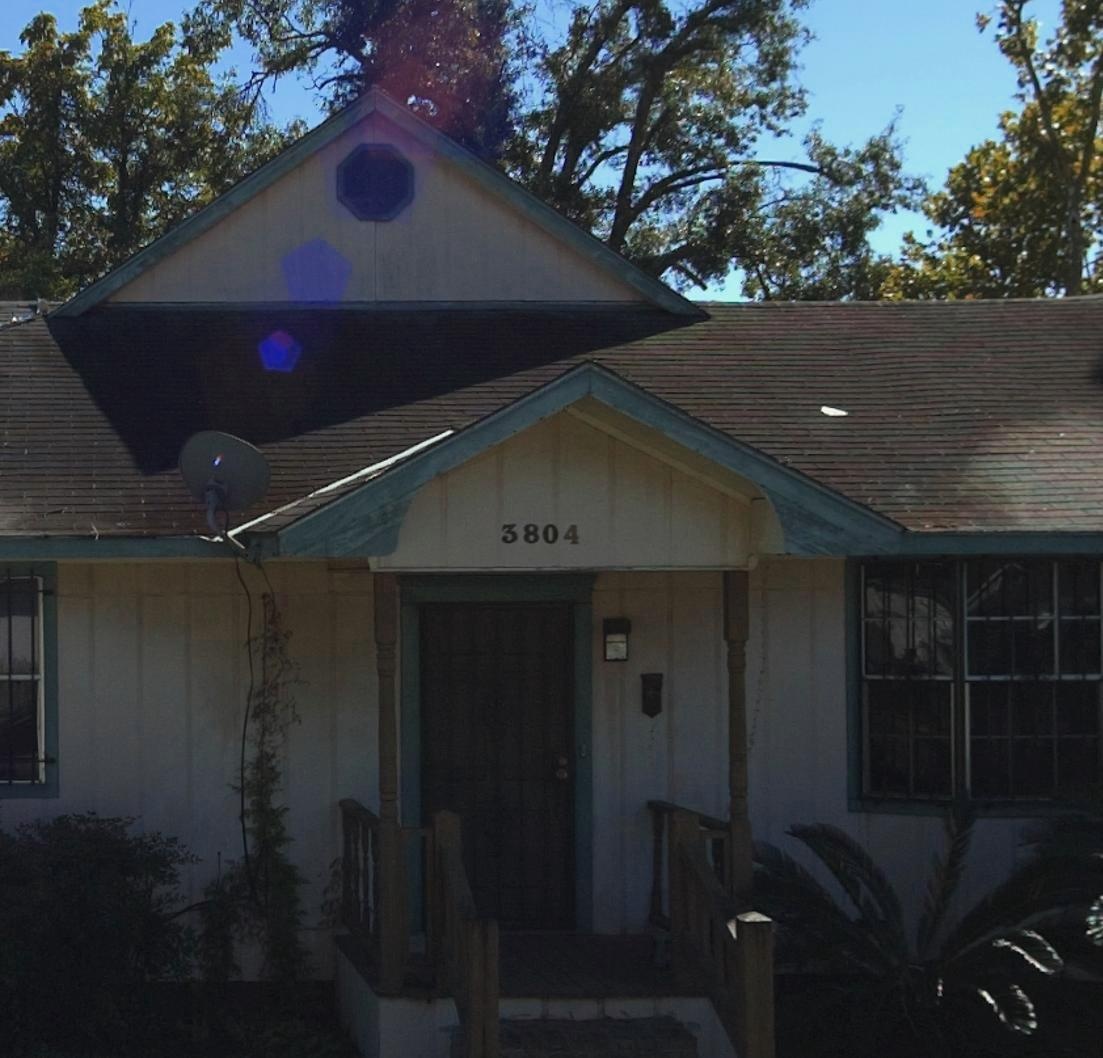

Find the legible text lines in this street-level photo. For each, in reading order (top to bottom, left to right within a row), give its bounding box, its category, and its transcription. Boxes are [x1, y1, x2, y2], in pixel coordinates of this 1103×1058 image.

[500, 522, 580, 546] StreetNumber: 3804